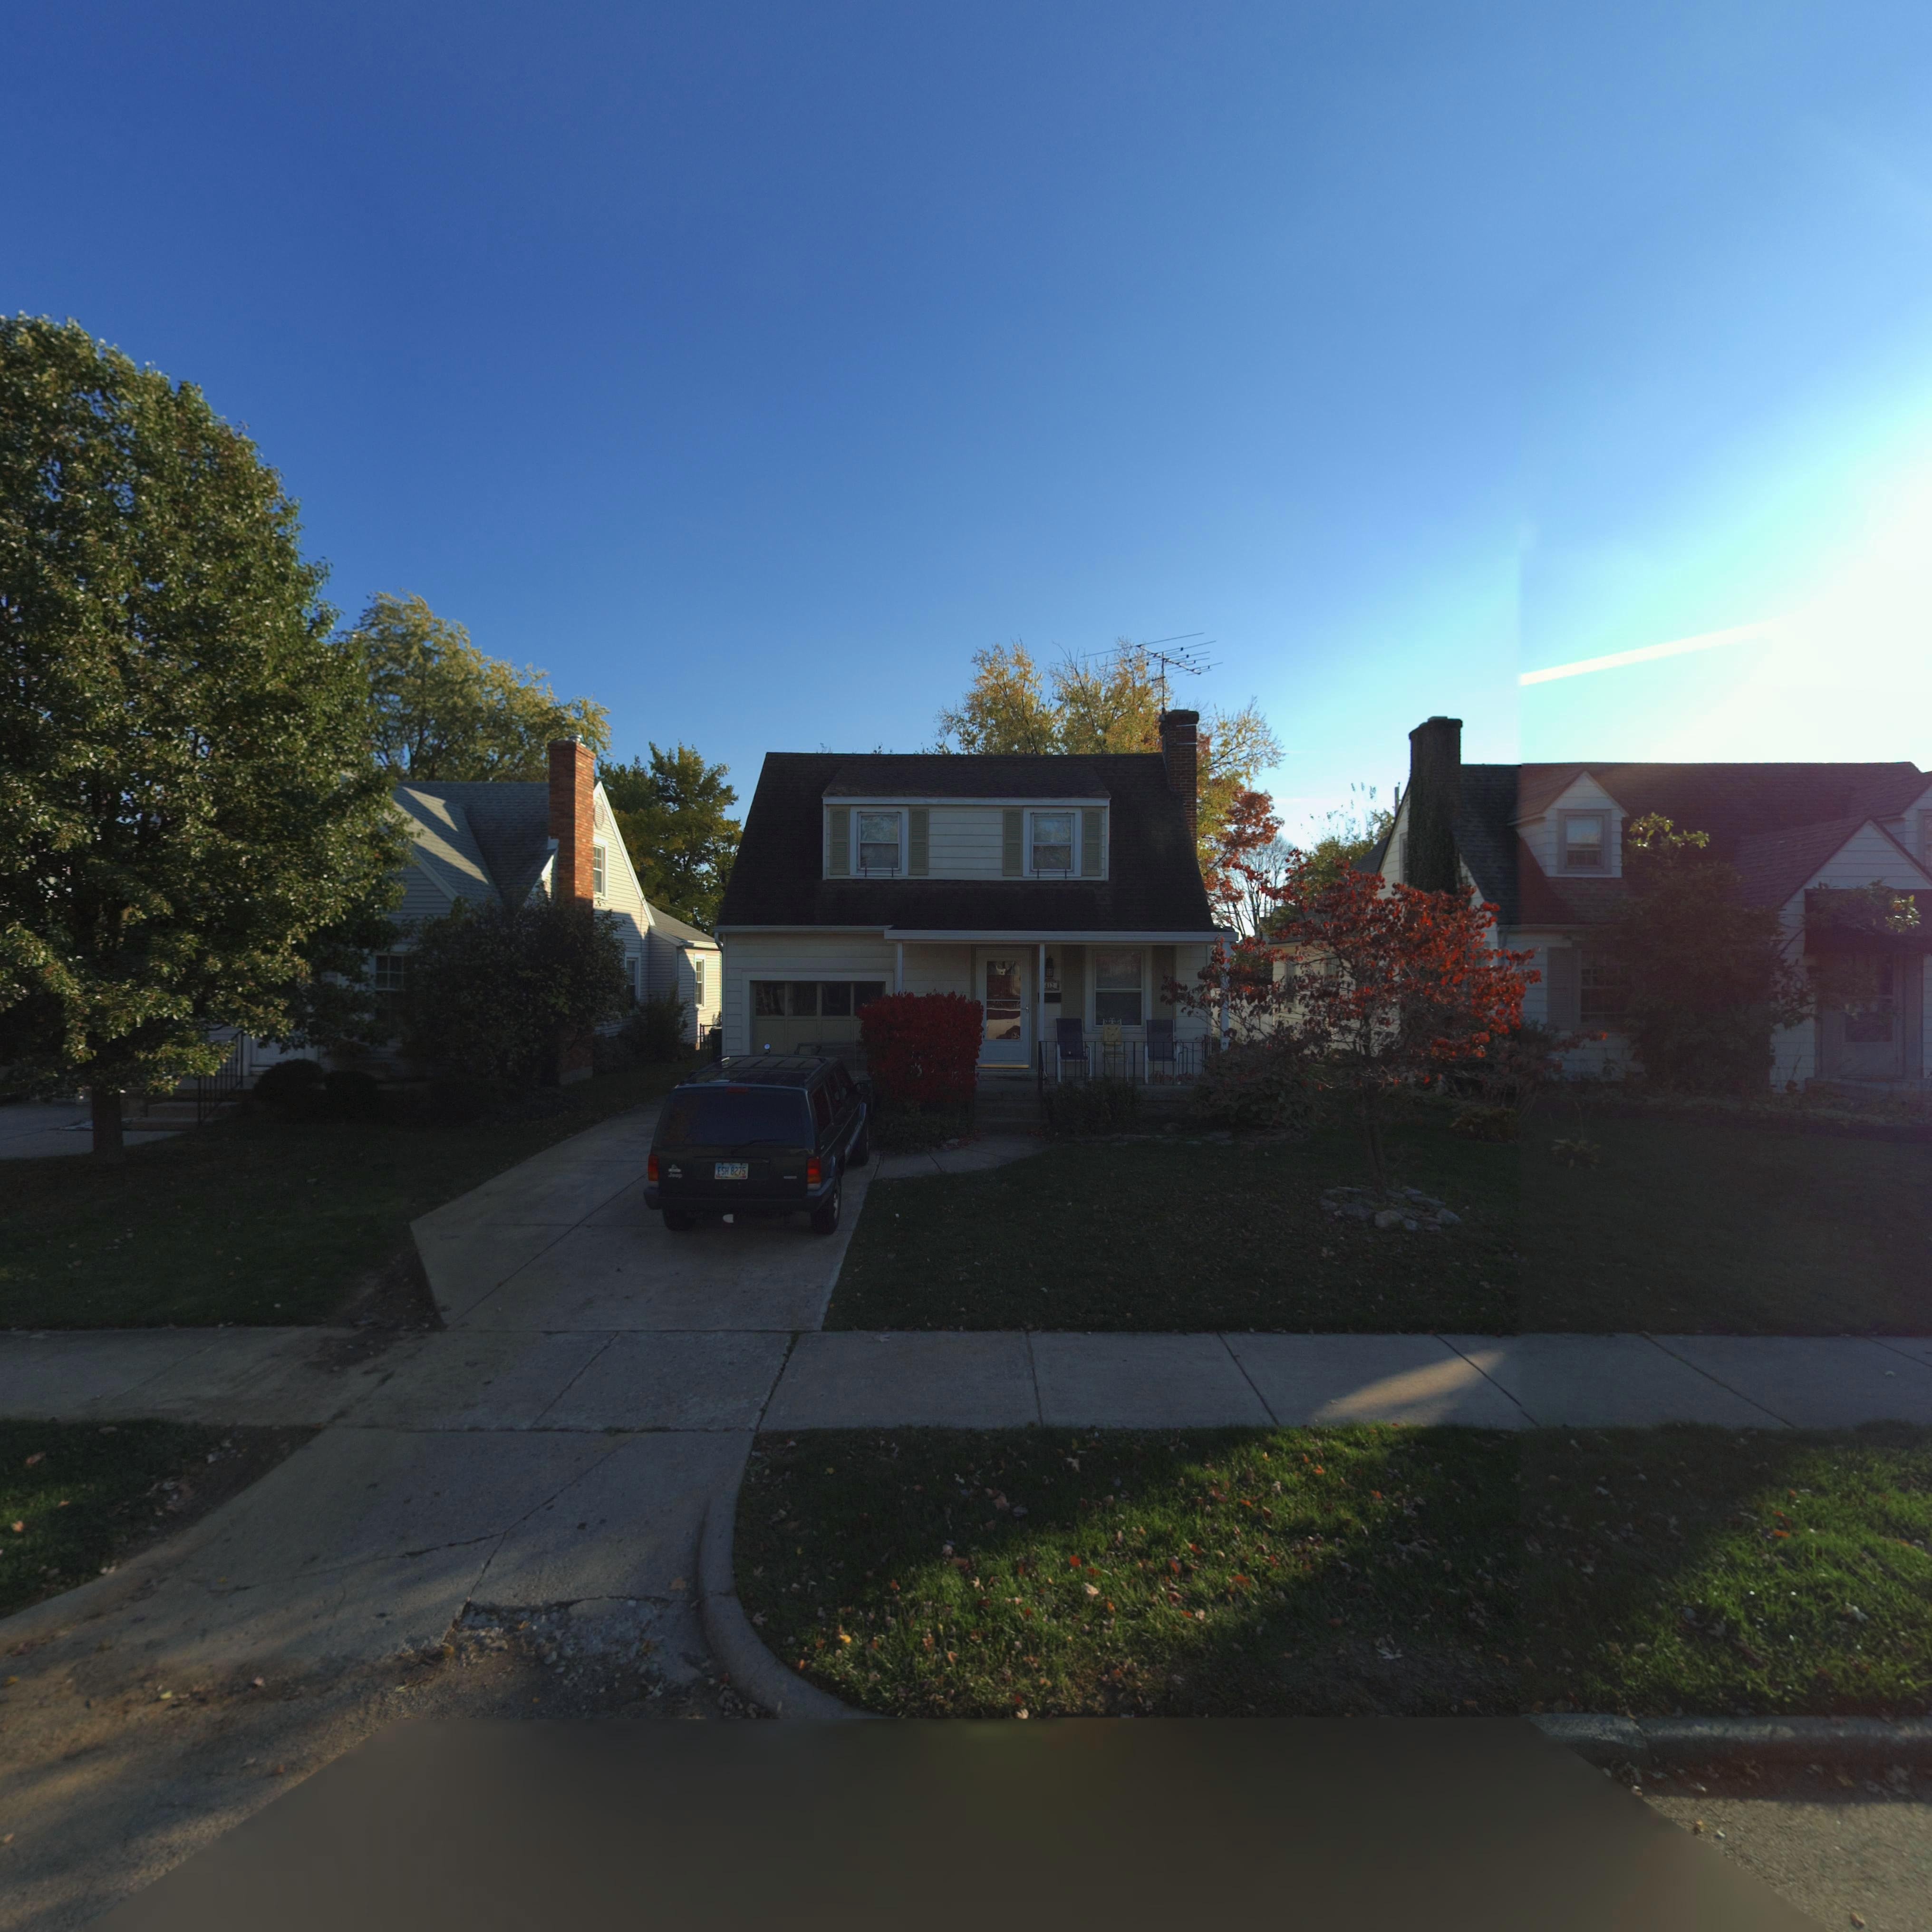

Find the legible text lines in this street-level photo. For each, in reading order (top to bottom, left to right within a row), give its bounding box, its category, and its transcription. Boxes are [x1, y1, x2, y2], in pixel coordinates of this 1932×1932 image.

[1044, 983, 1054, 989] StreetNumber: 412